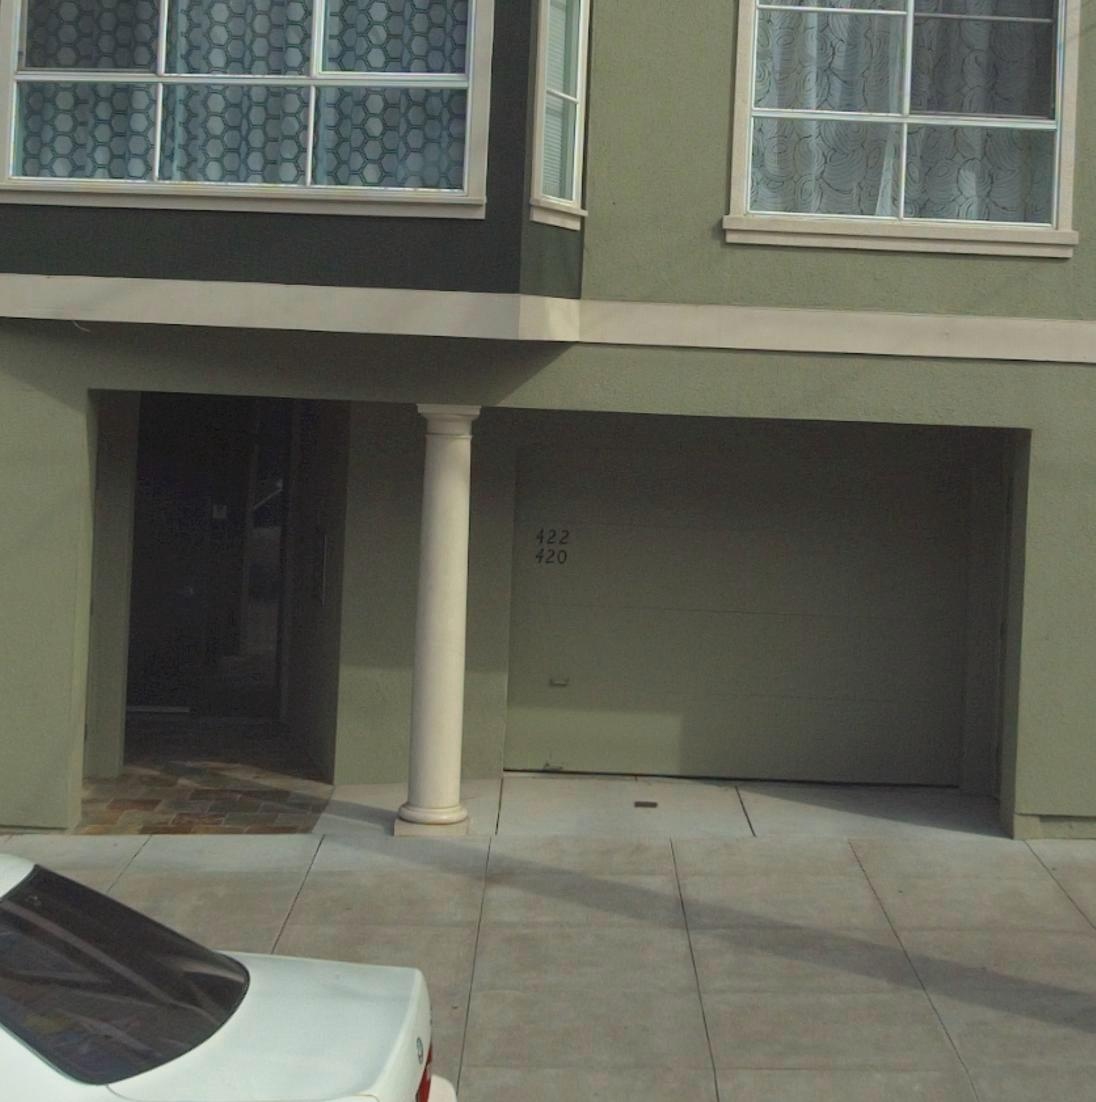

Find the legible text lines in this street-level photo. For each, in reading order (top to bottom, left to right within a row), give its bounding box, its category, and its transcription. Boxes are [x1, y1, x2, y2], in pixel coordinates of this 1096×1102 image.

[534, 527, 571, 546] StreetNumber: 422
[533, 547, 569, 566] StreetNumber: 420